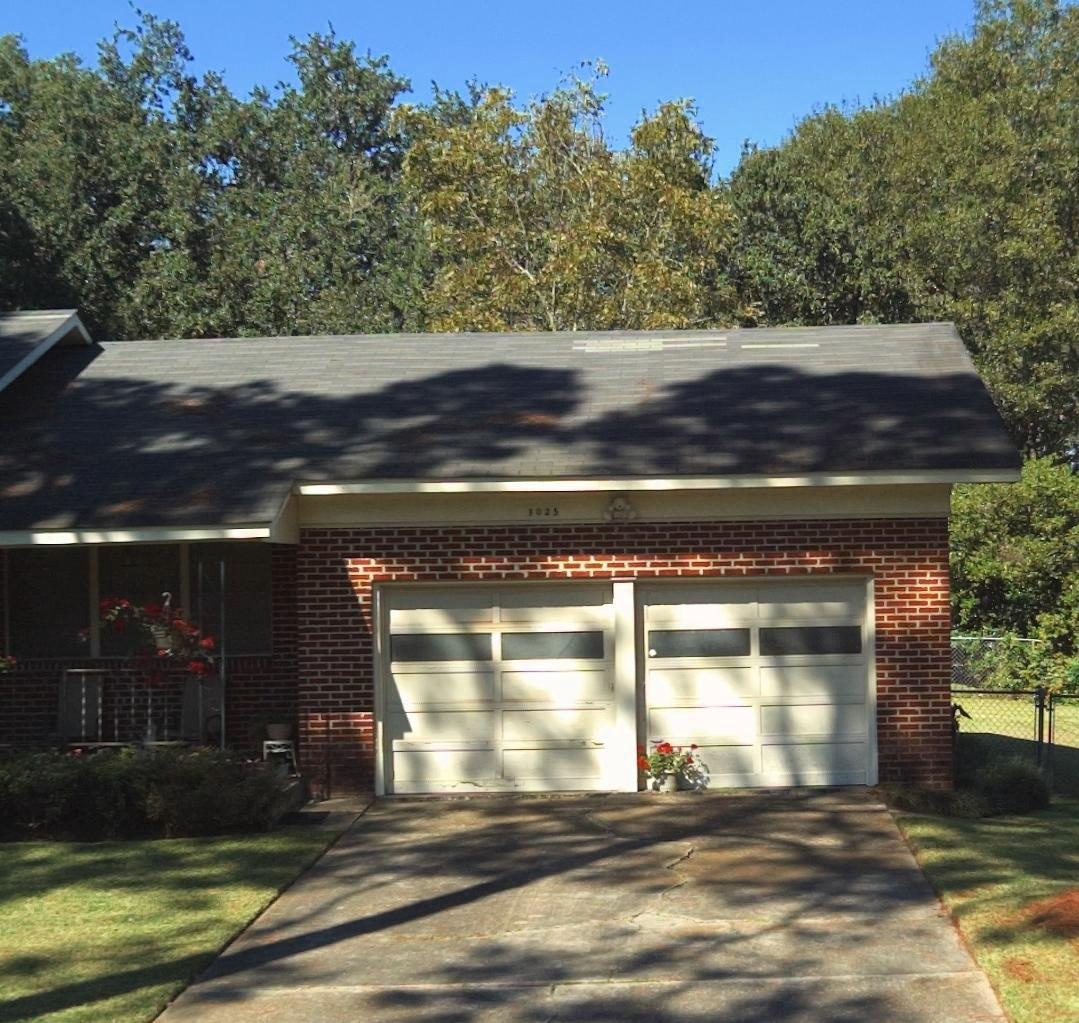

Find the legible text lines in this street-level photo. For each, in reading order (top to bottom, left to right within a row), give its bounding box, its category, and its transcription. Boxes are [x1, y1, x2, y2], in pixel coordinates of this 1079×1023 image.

[526, 506, 561, 518] StreetNumber: 3025